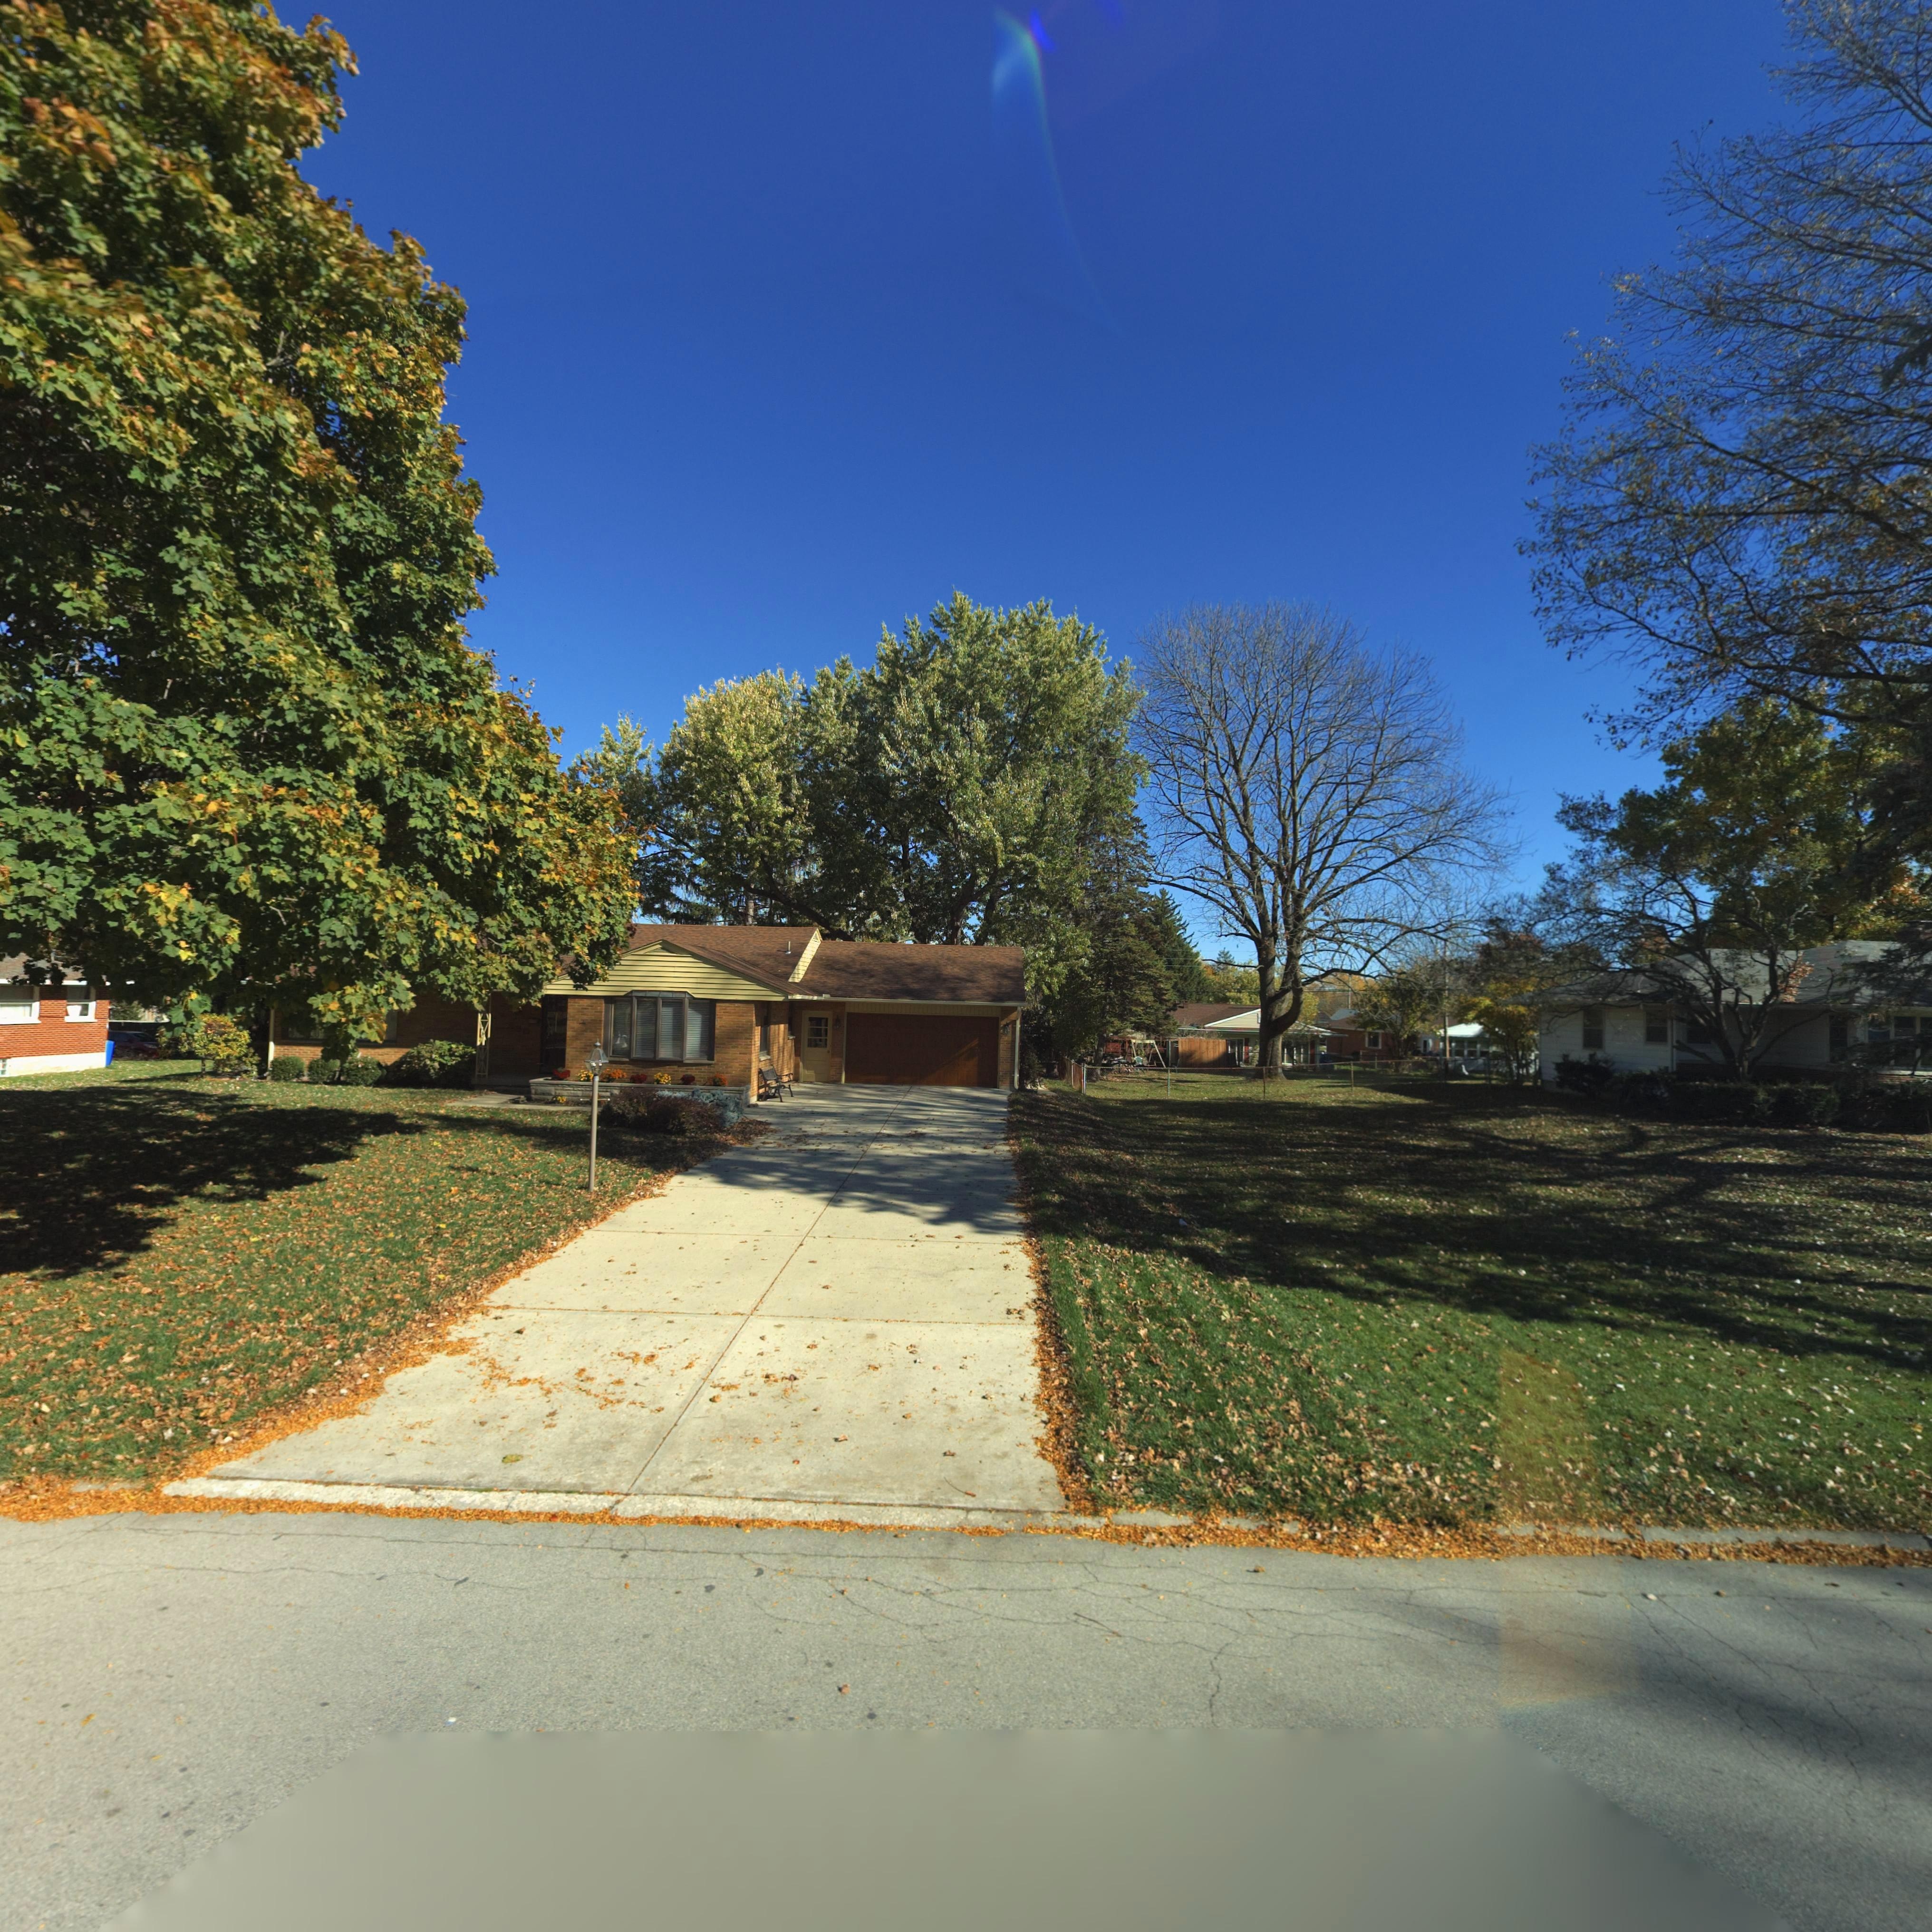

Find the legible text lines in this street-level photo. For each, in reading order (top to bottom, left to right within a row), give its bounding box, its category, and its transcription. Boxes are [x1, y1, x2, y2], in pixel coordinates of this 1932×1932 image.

[506, 1021, 531, 1035] StreetNumber: 520